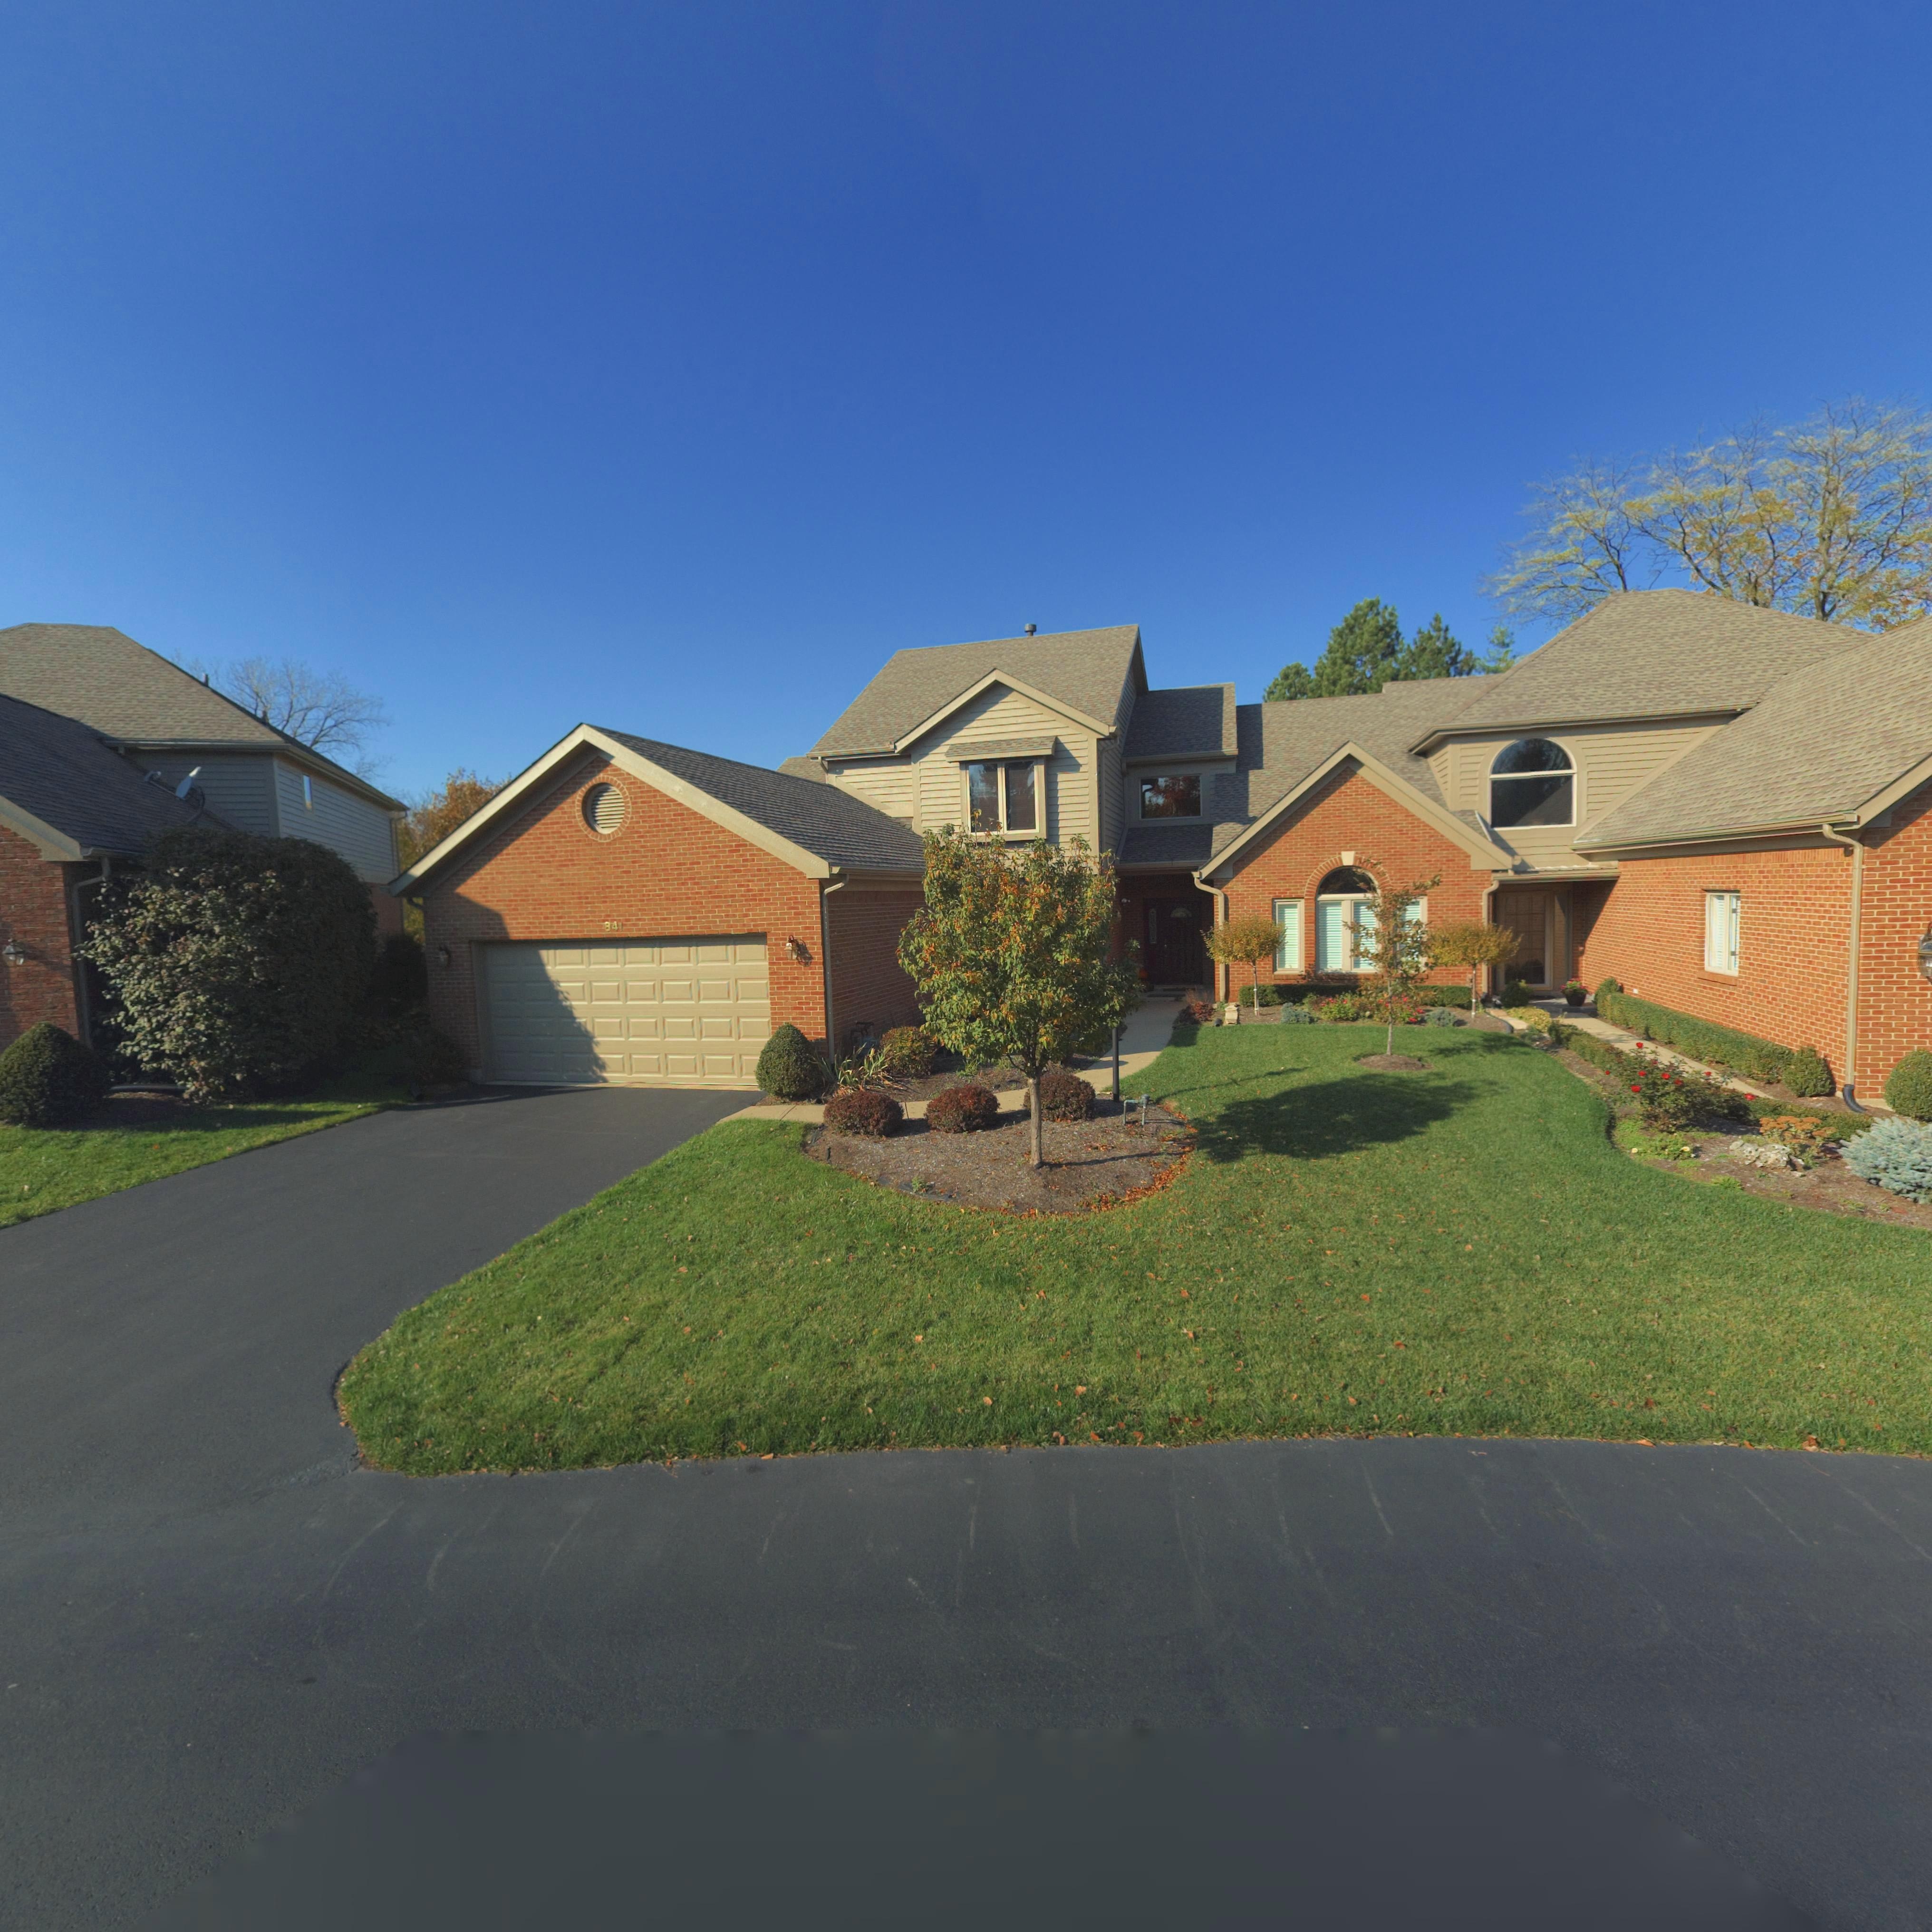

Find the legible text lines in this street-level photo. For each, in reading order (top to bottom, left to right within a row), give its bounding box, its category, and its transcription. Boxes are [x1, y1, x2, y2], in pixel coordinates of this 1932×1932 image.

[603, 919, 624, 933] StreetNumber: 841